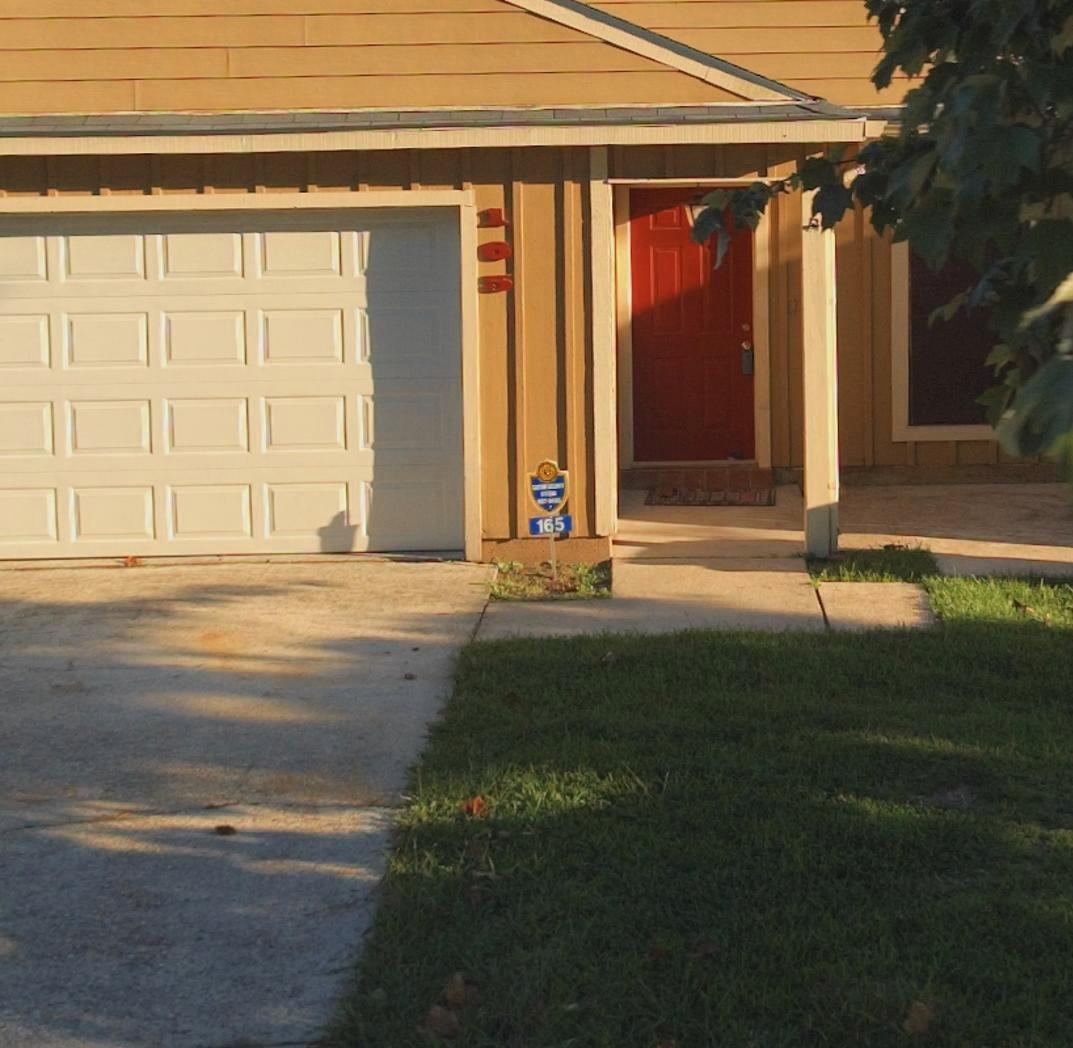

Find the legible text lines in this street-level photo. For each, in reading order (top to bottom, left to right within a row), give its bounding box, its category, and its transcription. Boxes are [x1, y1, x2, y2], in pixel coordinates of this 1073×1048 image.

[534, 516, 566, 533] StreetNumber: 165